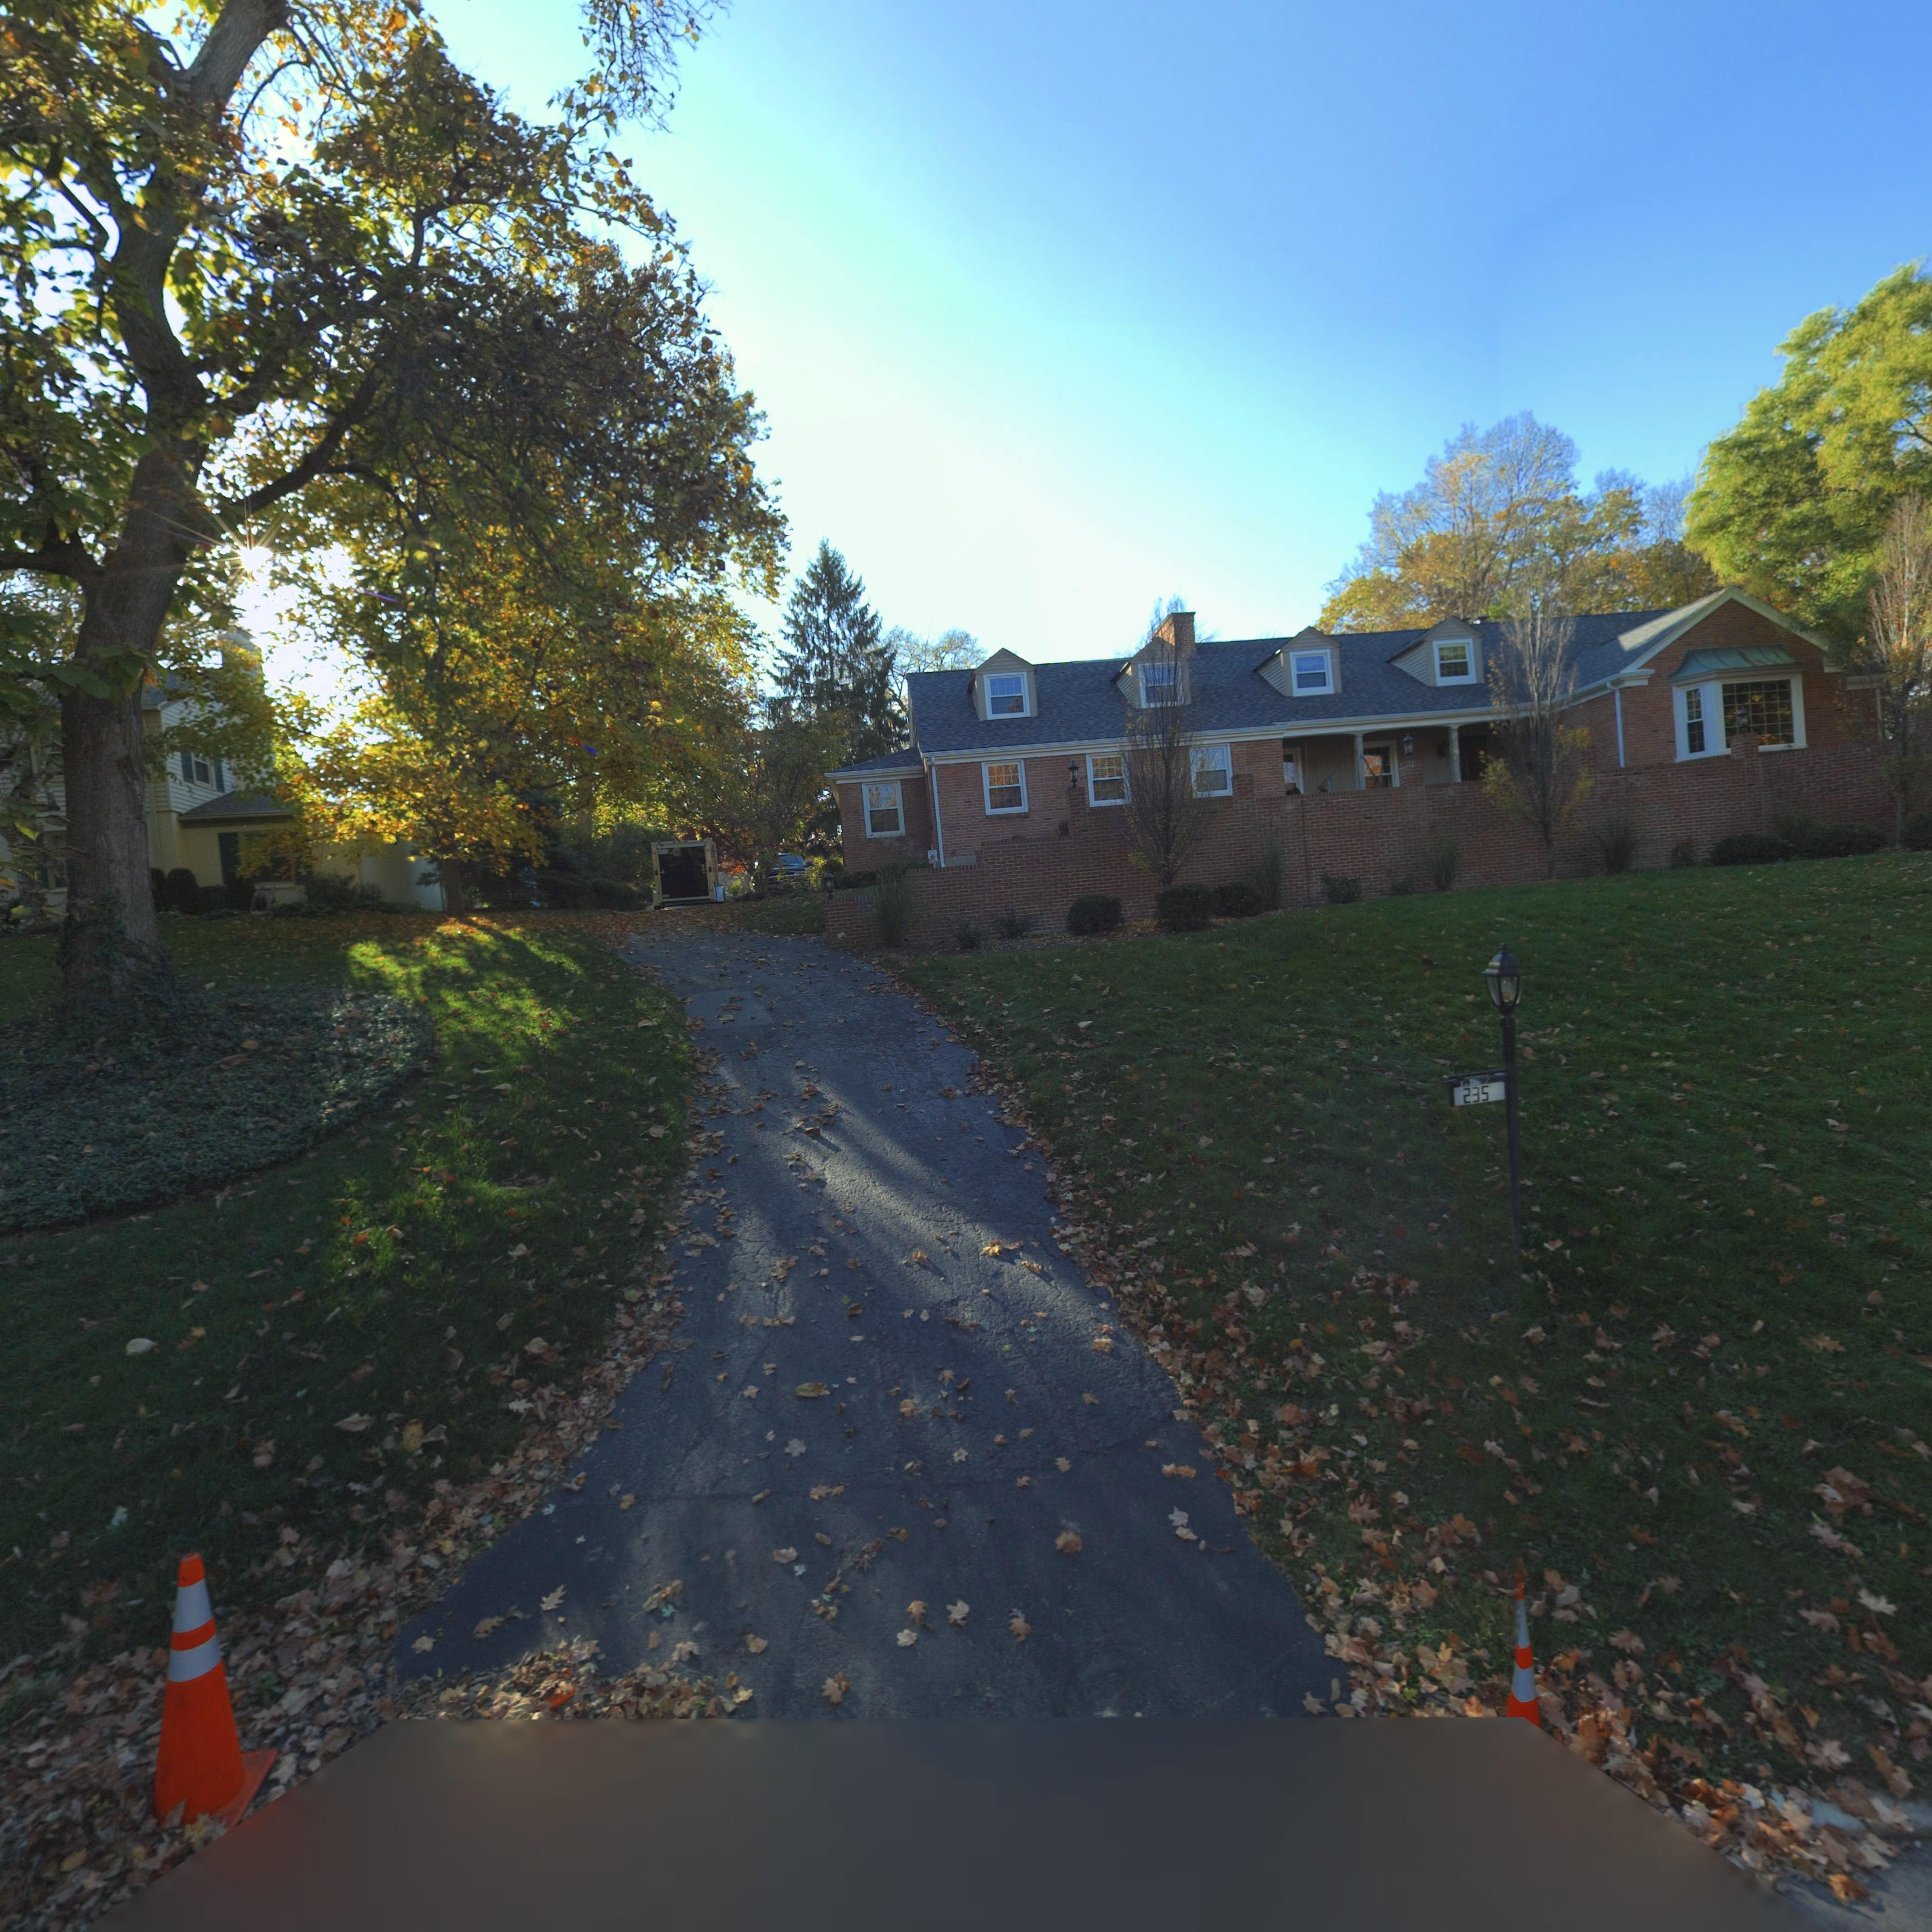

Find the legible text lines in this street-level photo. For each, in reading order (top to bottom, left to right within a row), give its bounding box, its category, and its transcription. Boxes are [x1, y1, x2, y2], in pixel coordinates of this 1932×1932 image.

[1462, 1083, 1490, 1106] StreetNumber: 235